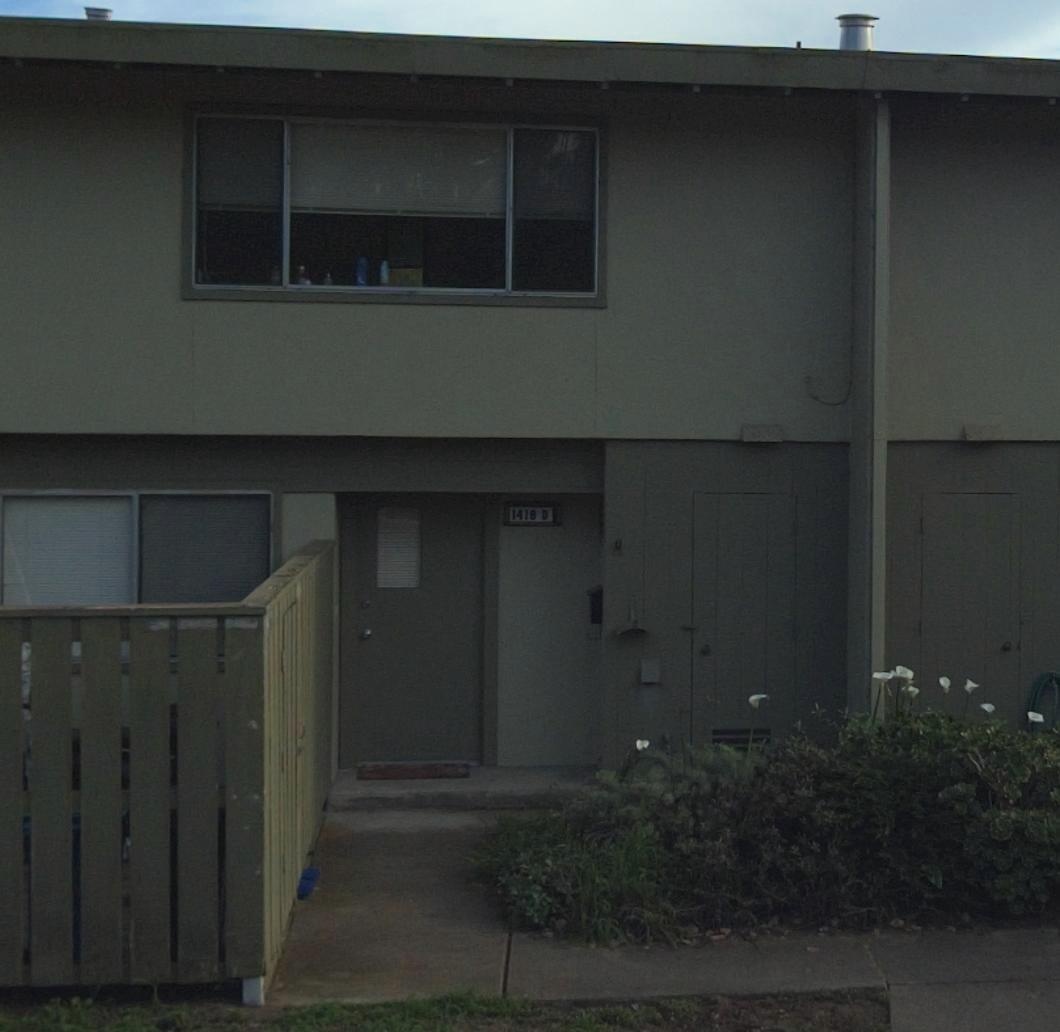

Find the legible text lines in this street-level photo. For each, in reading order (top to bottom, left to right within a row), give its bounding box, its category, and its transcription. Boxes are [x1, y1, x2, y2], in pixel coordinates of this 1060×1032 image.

[509, 507, 551, 522] StreetNumber: 1419D